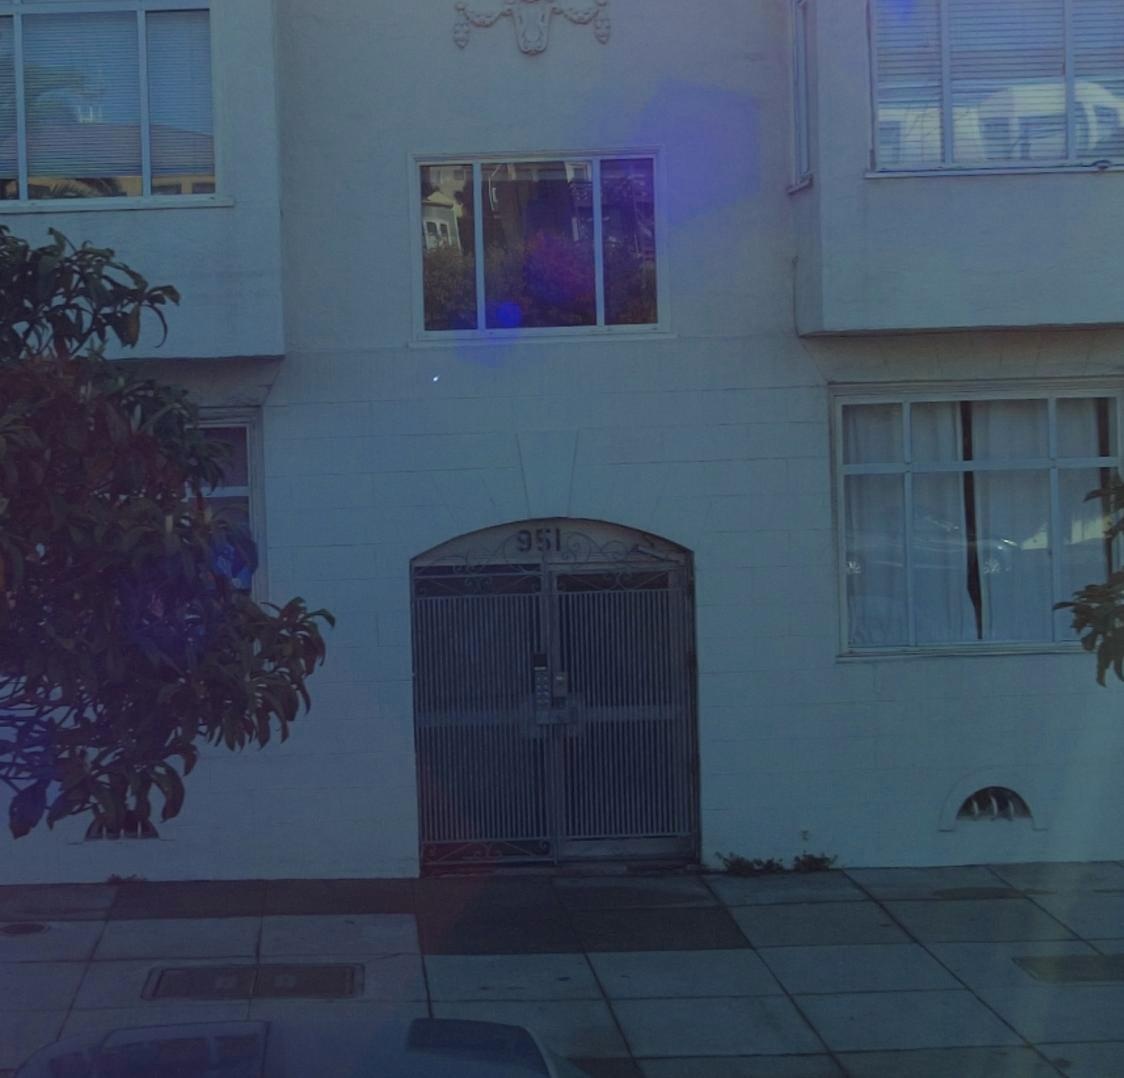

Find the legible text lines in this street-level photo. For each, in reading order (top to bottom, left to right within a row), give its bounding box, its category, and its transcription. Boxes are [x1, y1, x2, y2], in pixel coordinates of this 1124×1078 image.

[515, 526, 565, 556] StreetNumber: 951